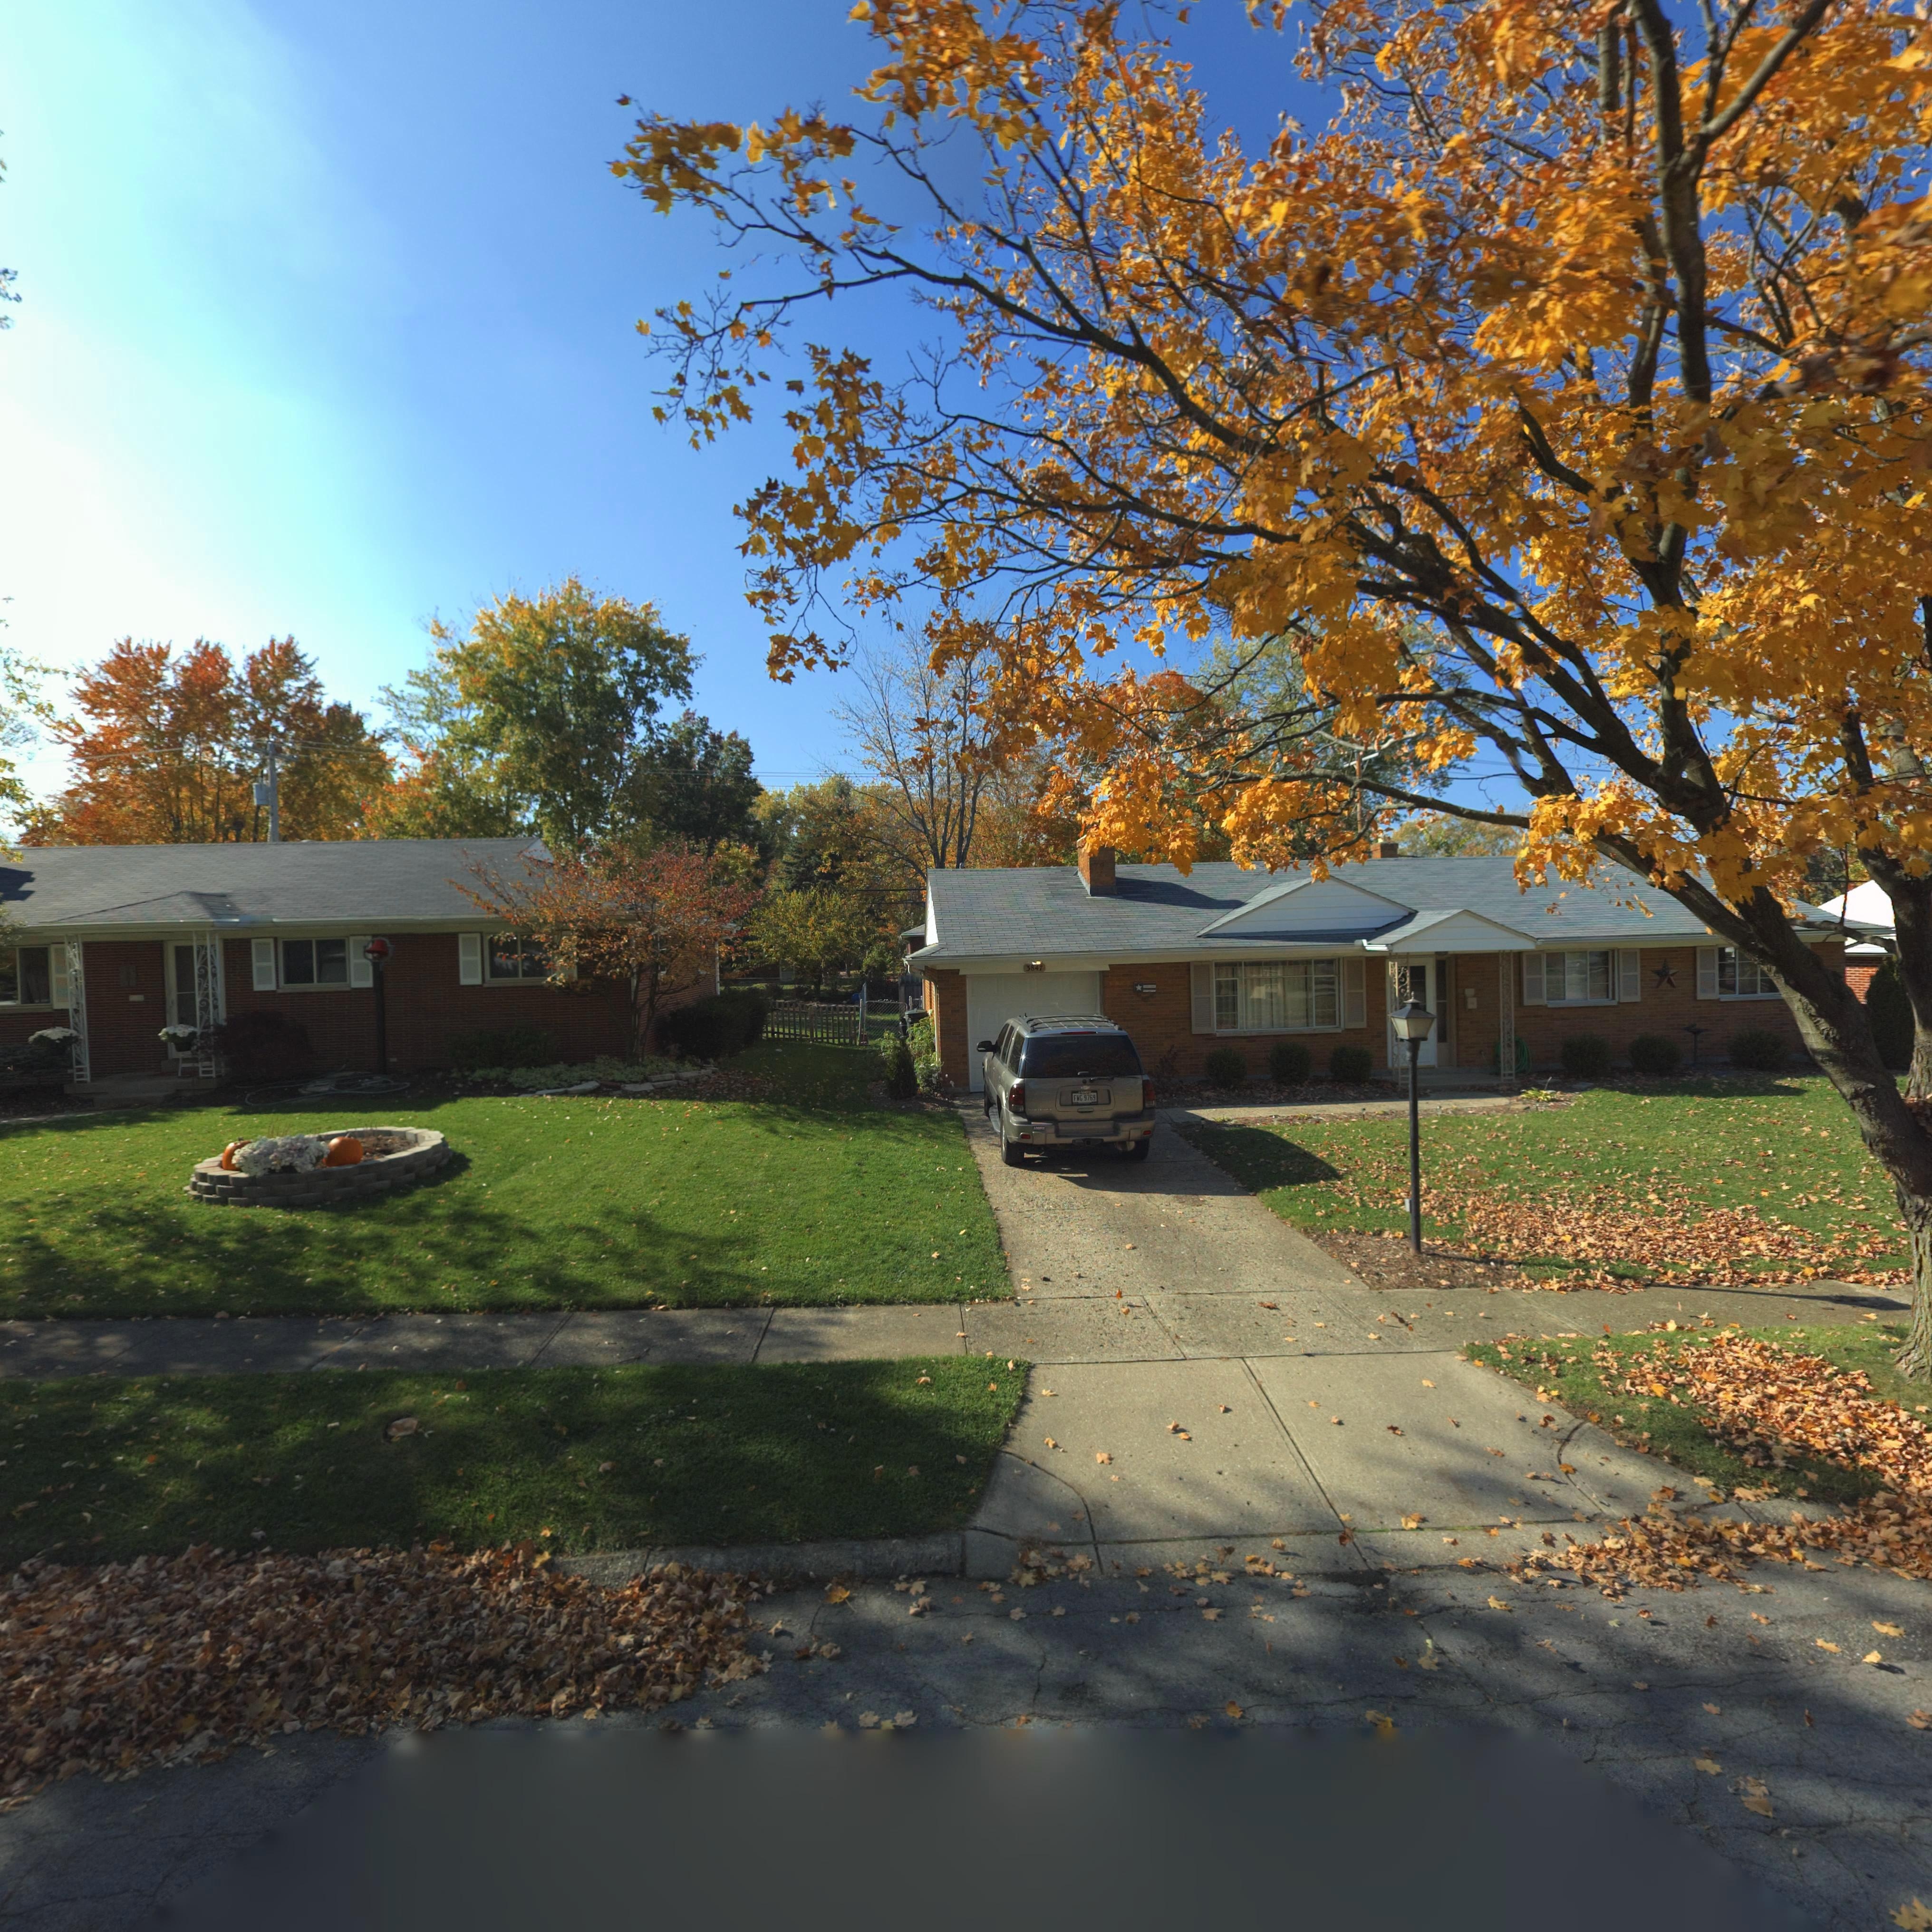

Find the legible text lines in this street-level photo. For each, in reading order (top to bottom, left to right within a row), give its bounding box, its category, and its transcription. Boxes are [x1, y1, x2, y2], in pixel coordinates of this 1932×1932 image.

[1025, 965, 1043, 972] StreetNumber: 3847
[1073, 1094, 1095, 1101] None: FWG 9769